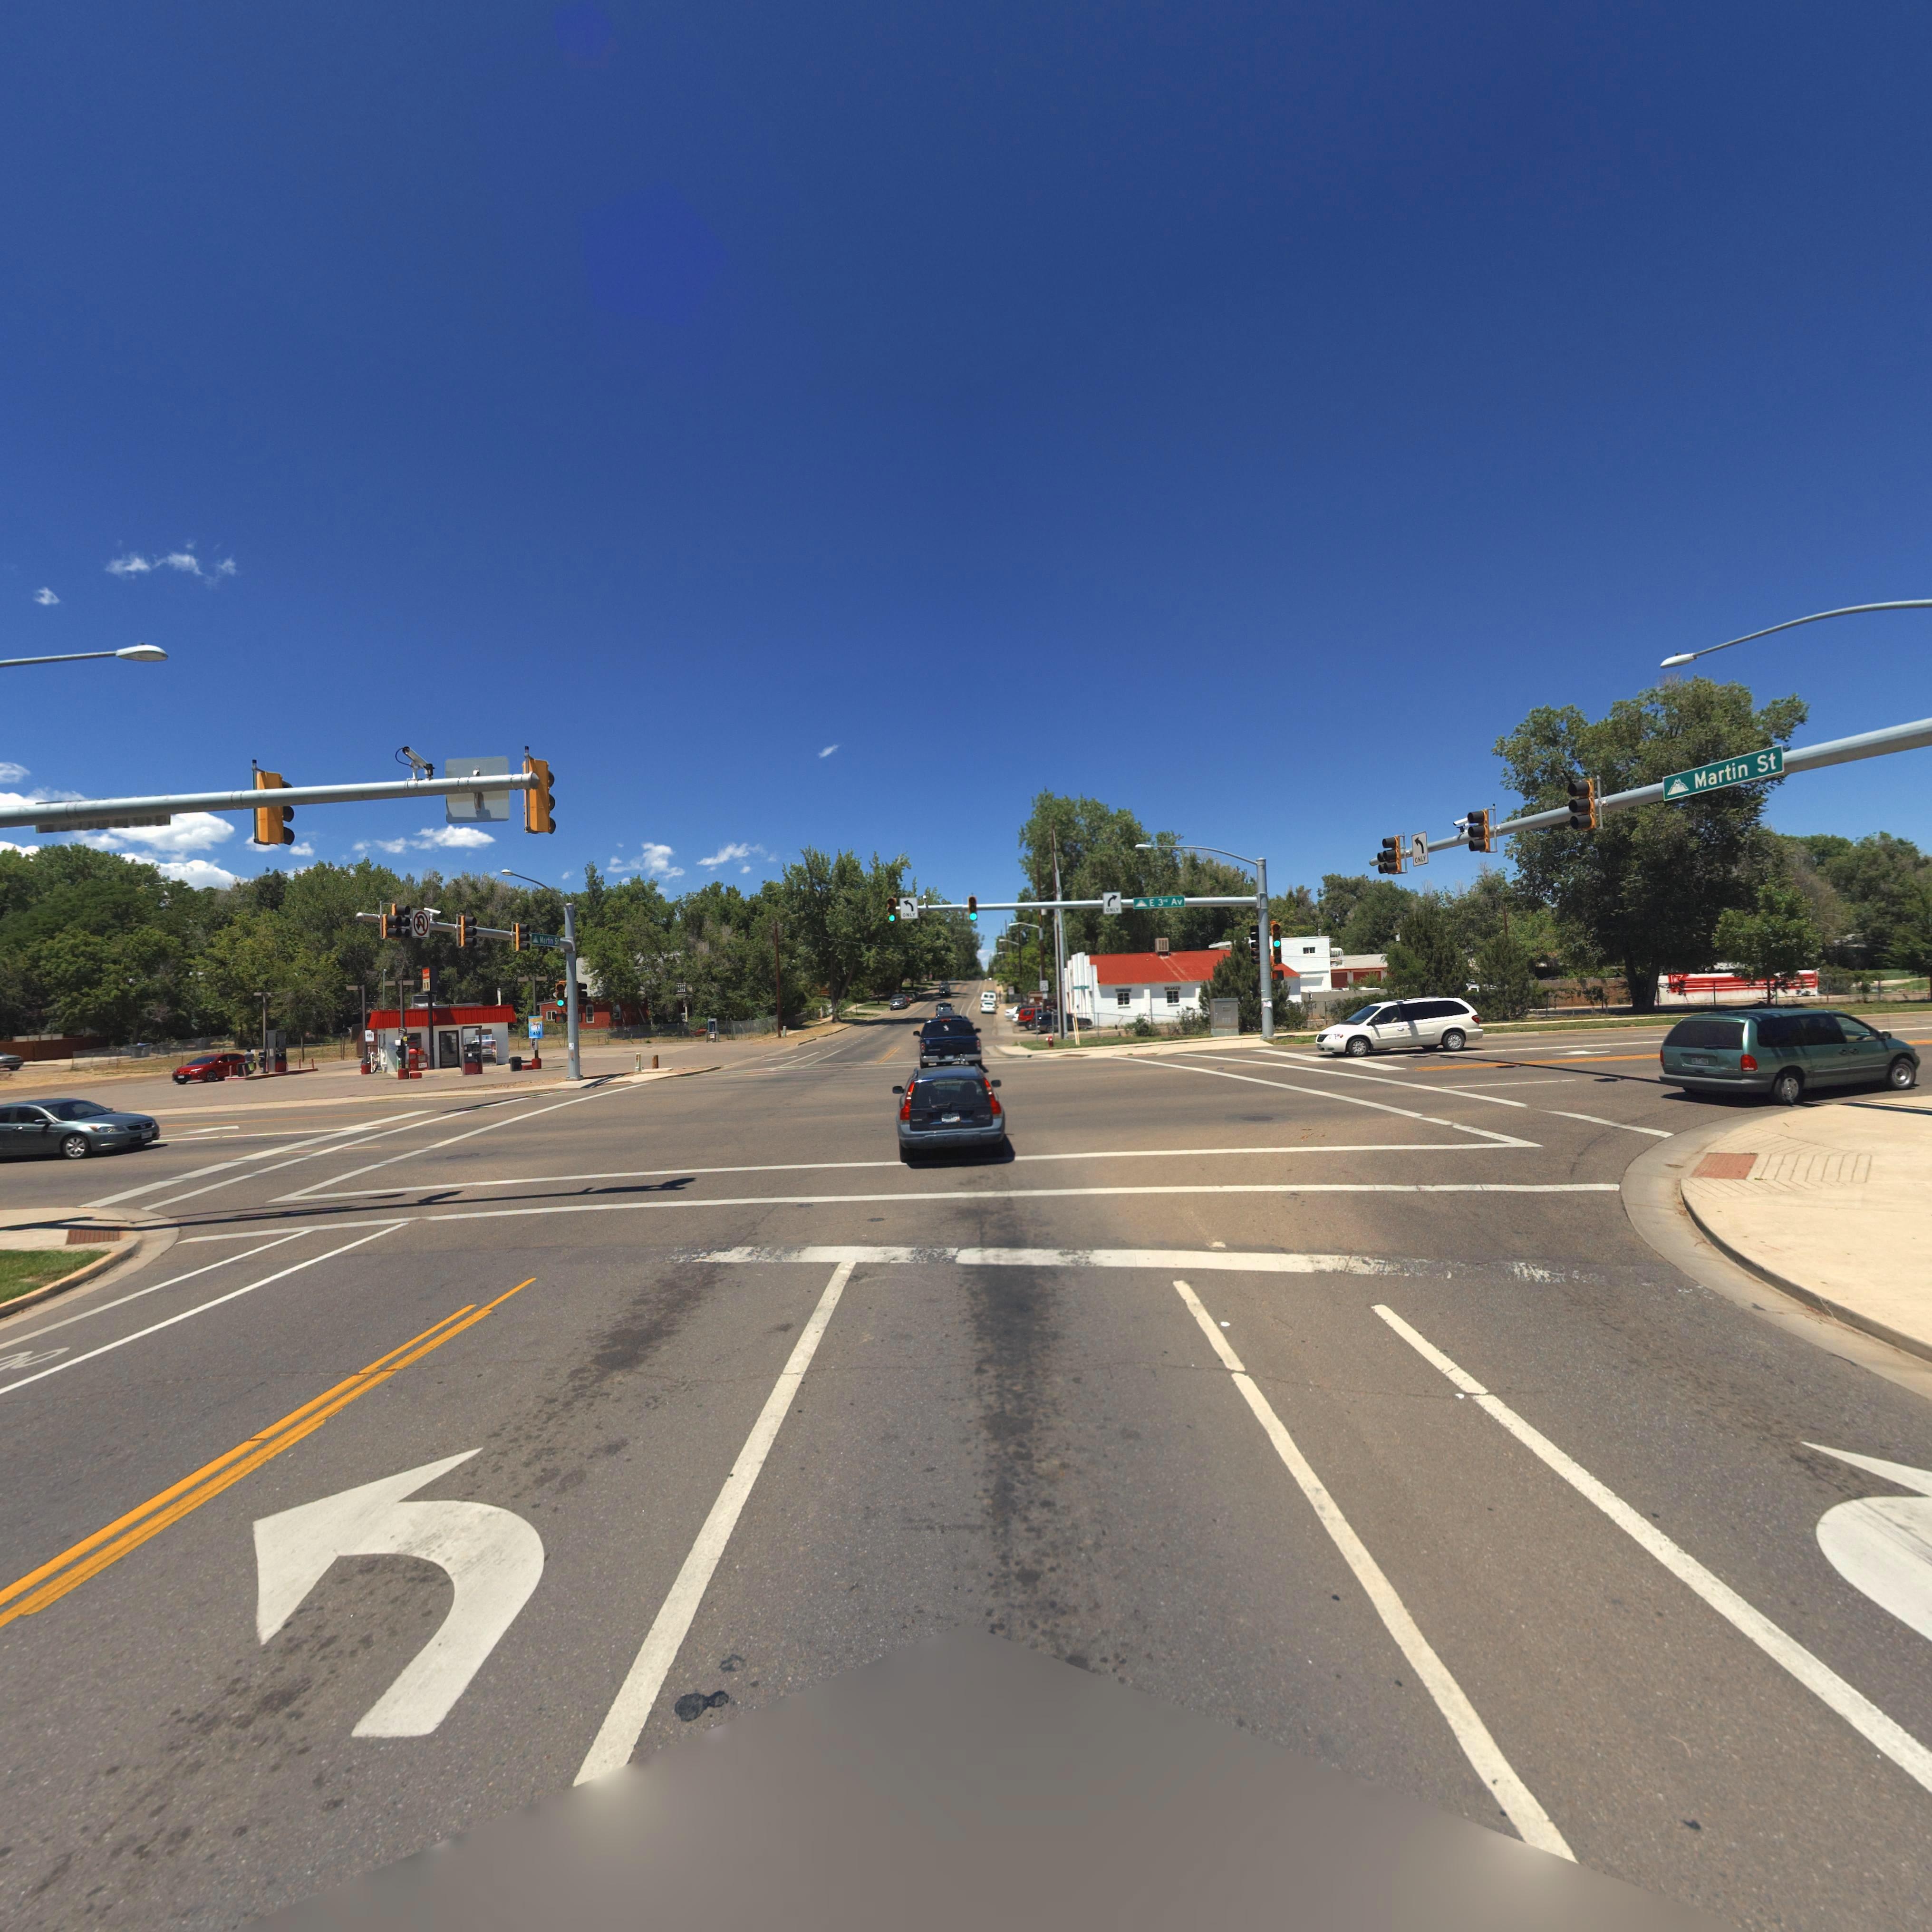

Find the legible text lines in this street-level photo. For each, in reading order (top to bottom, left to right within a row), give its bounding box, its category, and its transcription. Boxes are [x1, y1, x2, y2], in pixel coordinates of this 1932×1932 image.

[1694, 752, 1777, 790] StreetName: Martin St
[1149, 898, 1183, 907] StreetName: E 3*d Av
[540, 935, 560, 945] StreetName: Martin St